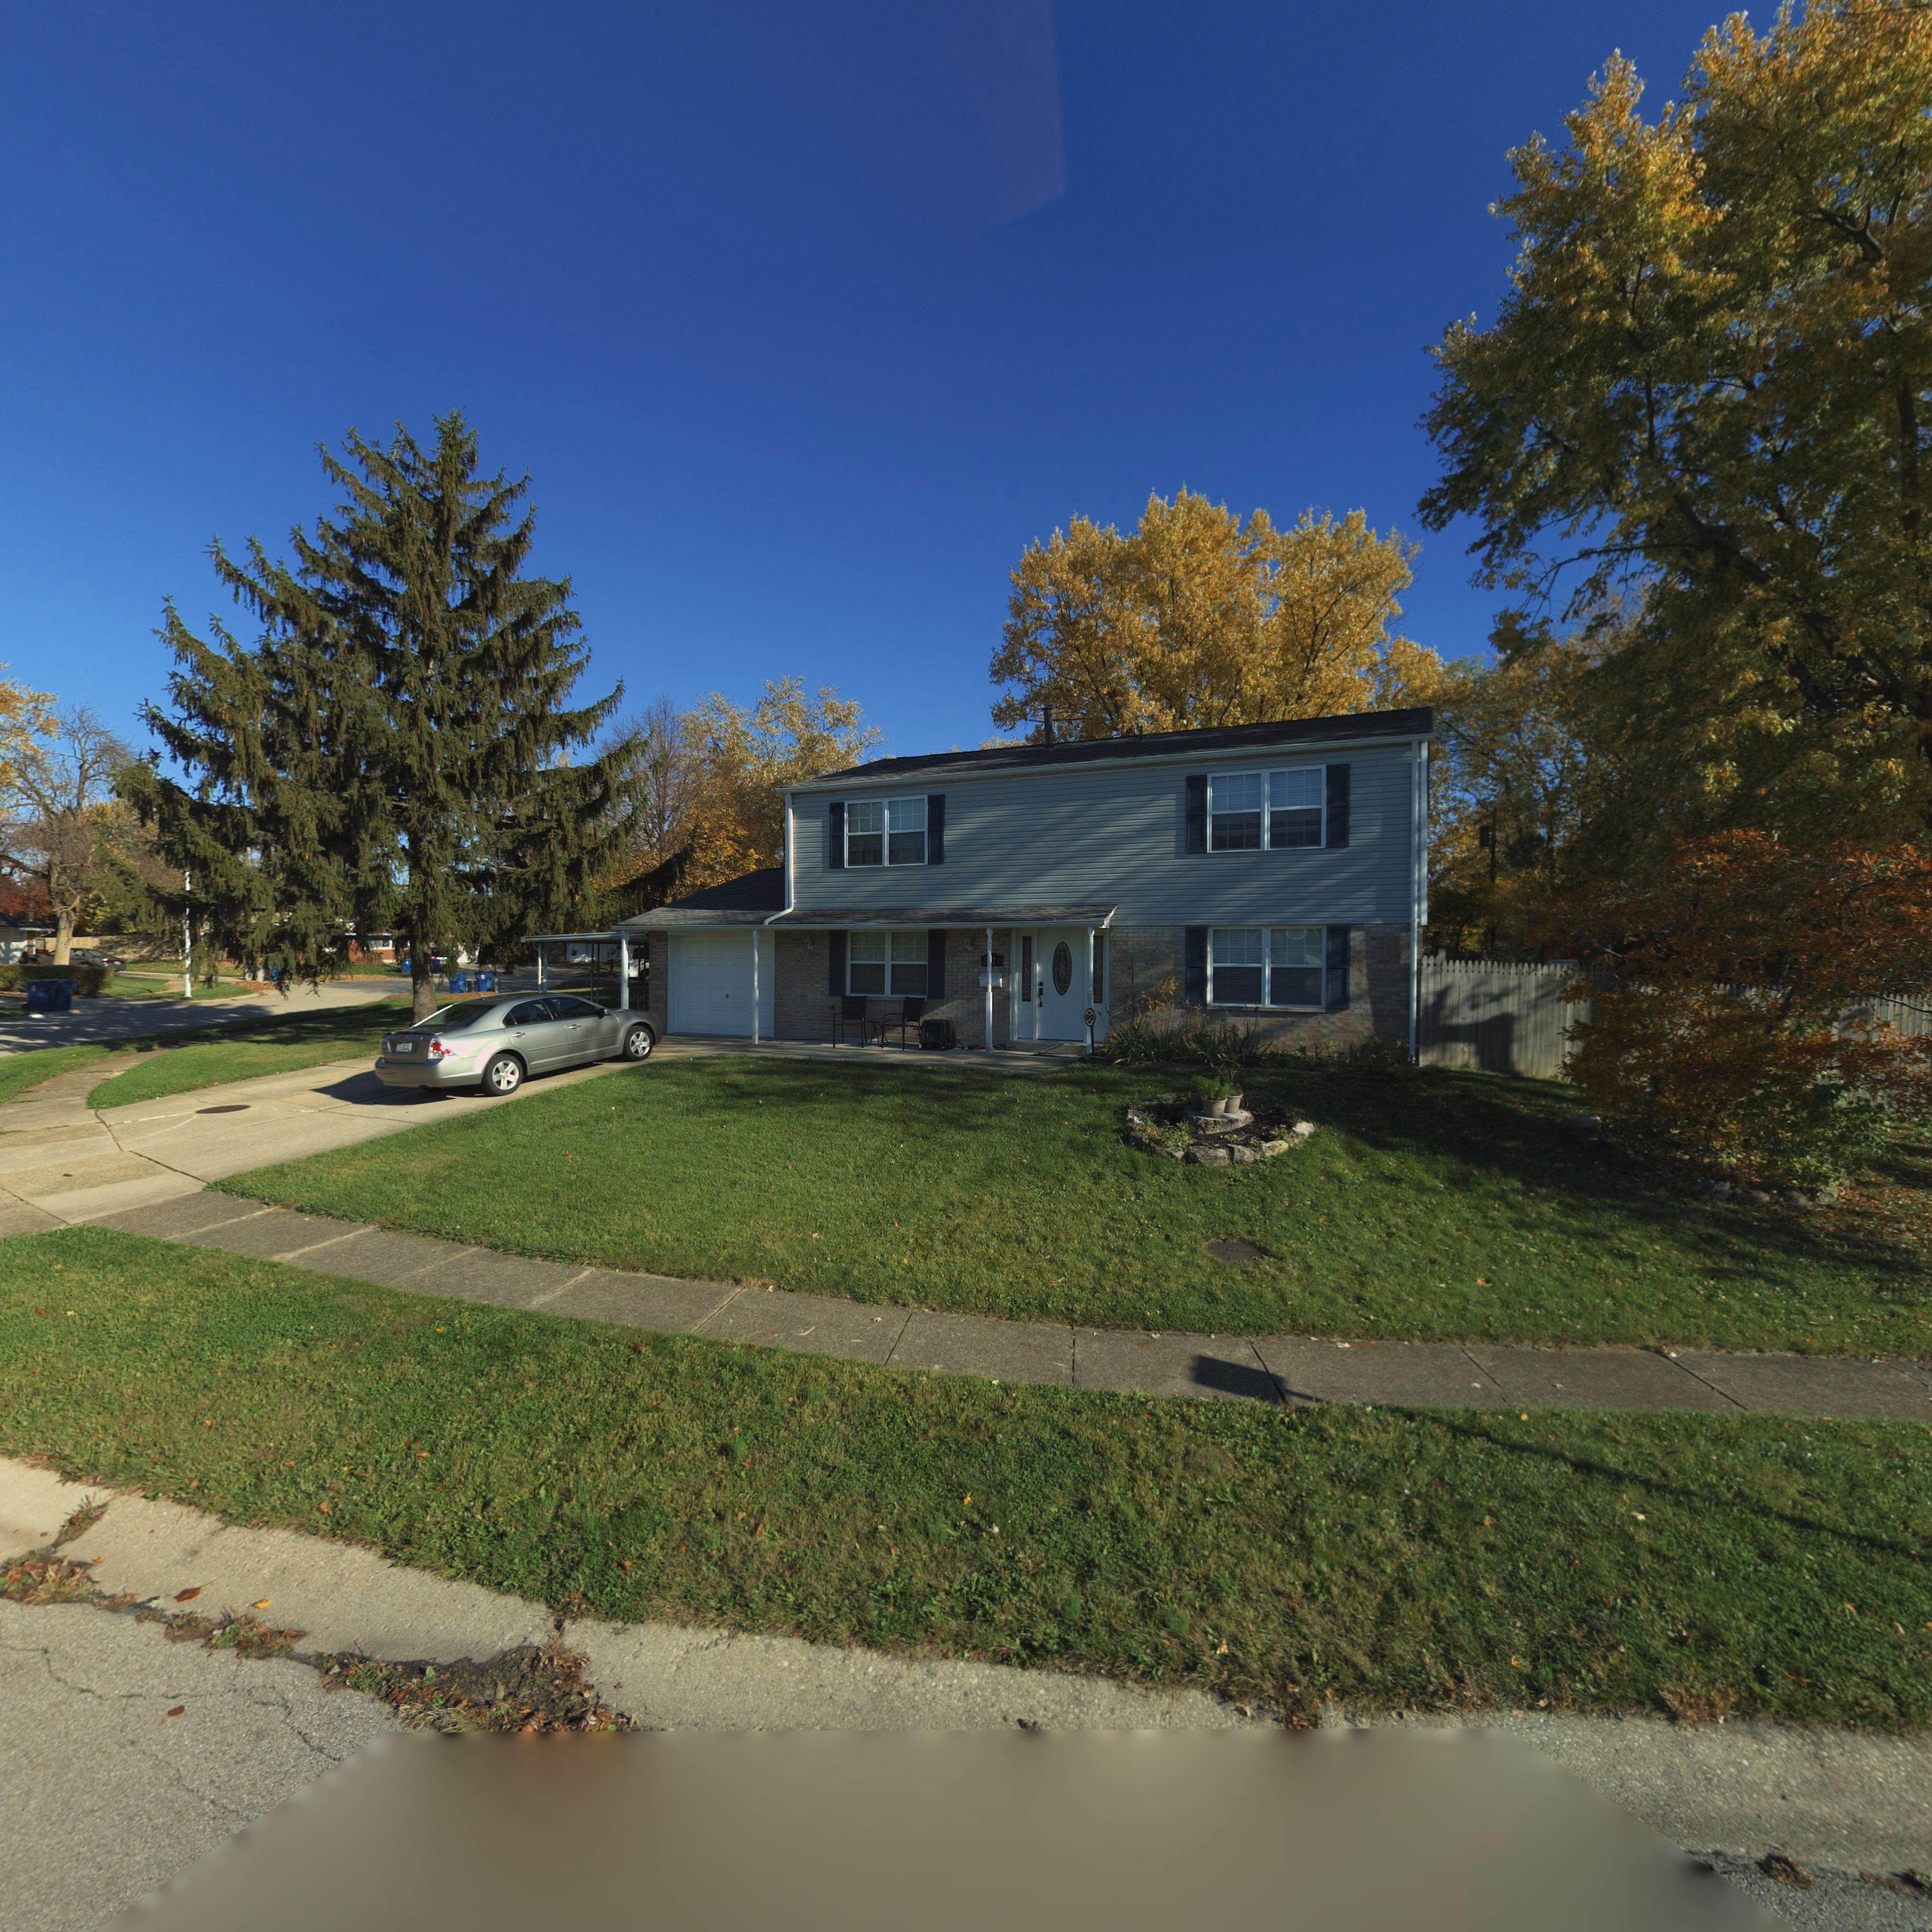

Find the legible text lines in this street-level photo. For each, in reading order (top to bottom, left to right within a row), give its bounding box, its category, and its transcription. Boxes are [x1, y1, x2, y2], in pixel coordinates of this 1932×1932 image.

[983, 956, 1001, 966] StreetNumber: 5*2*